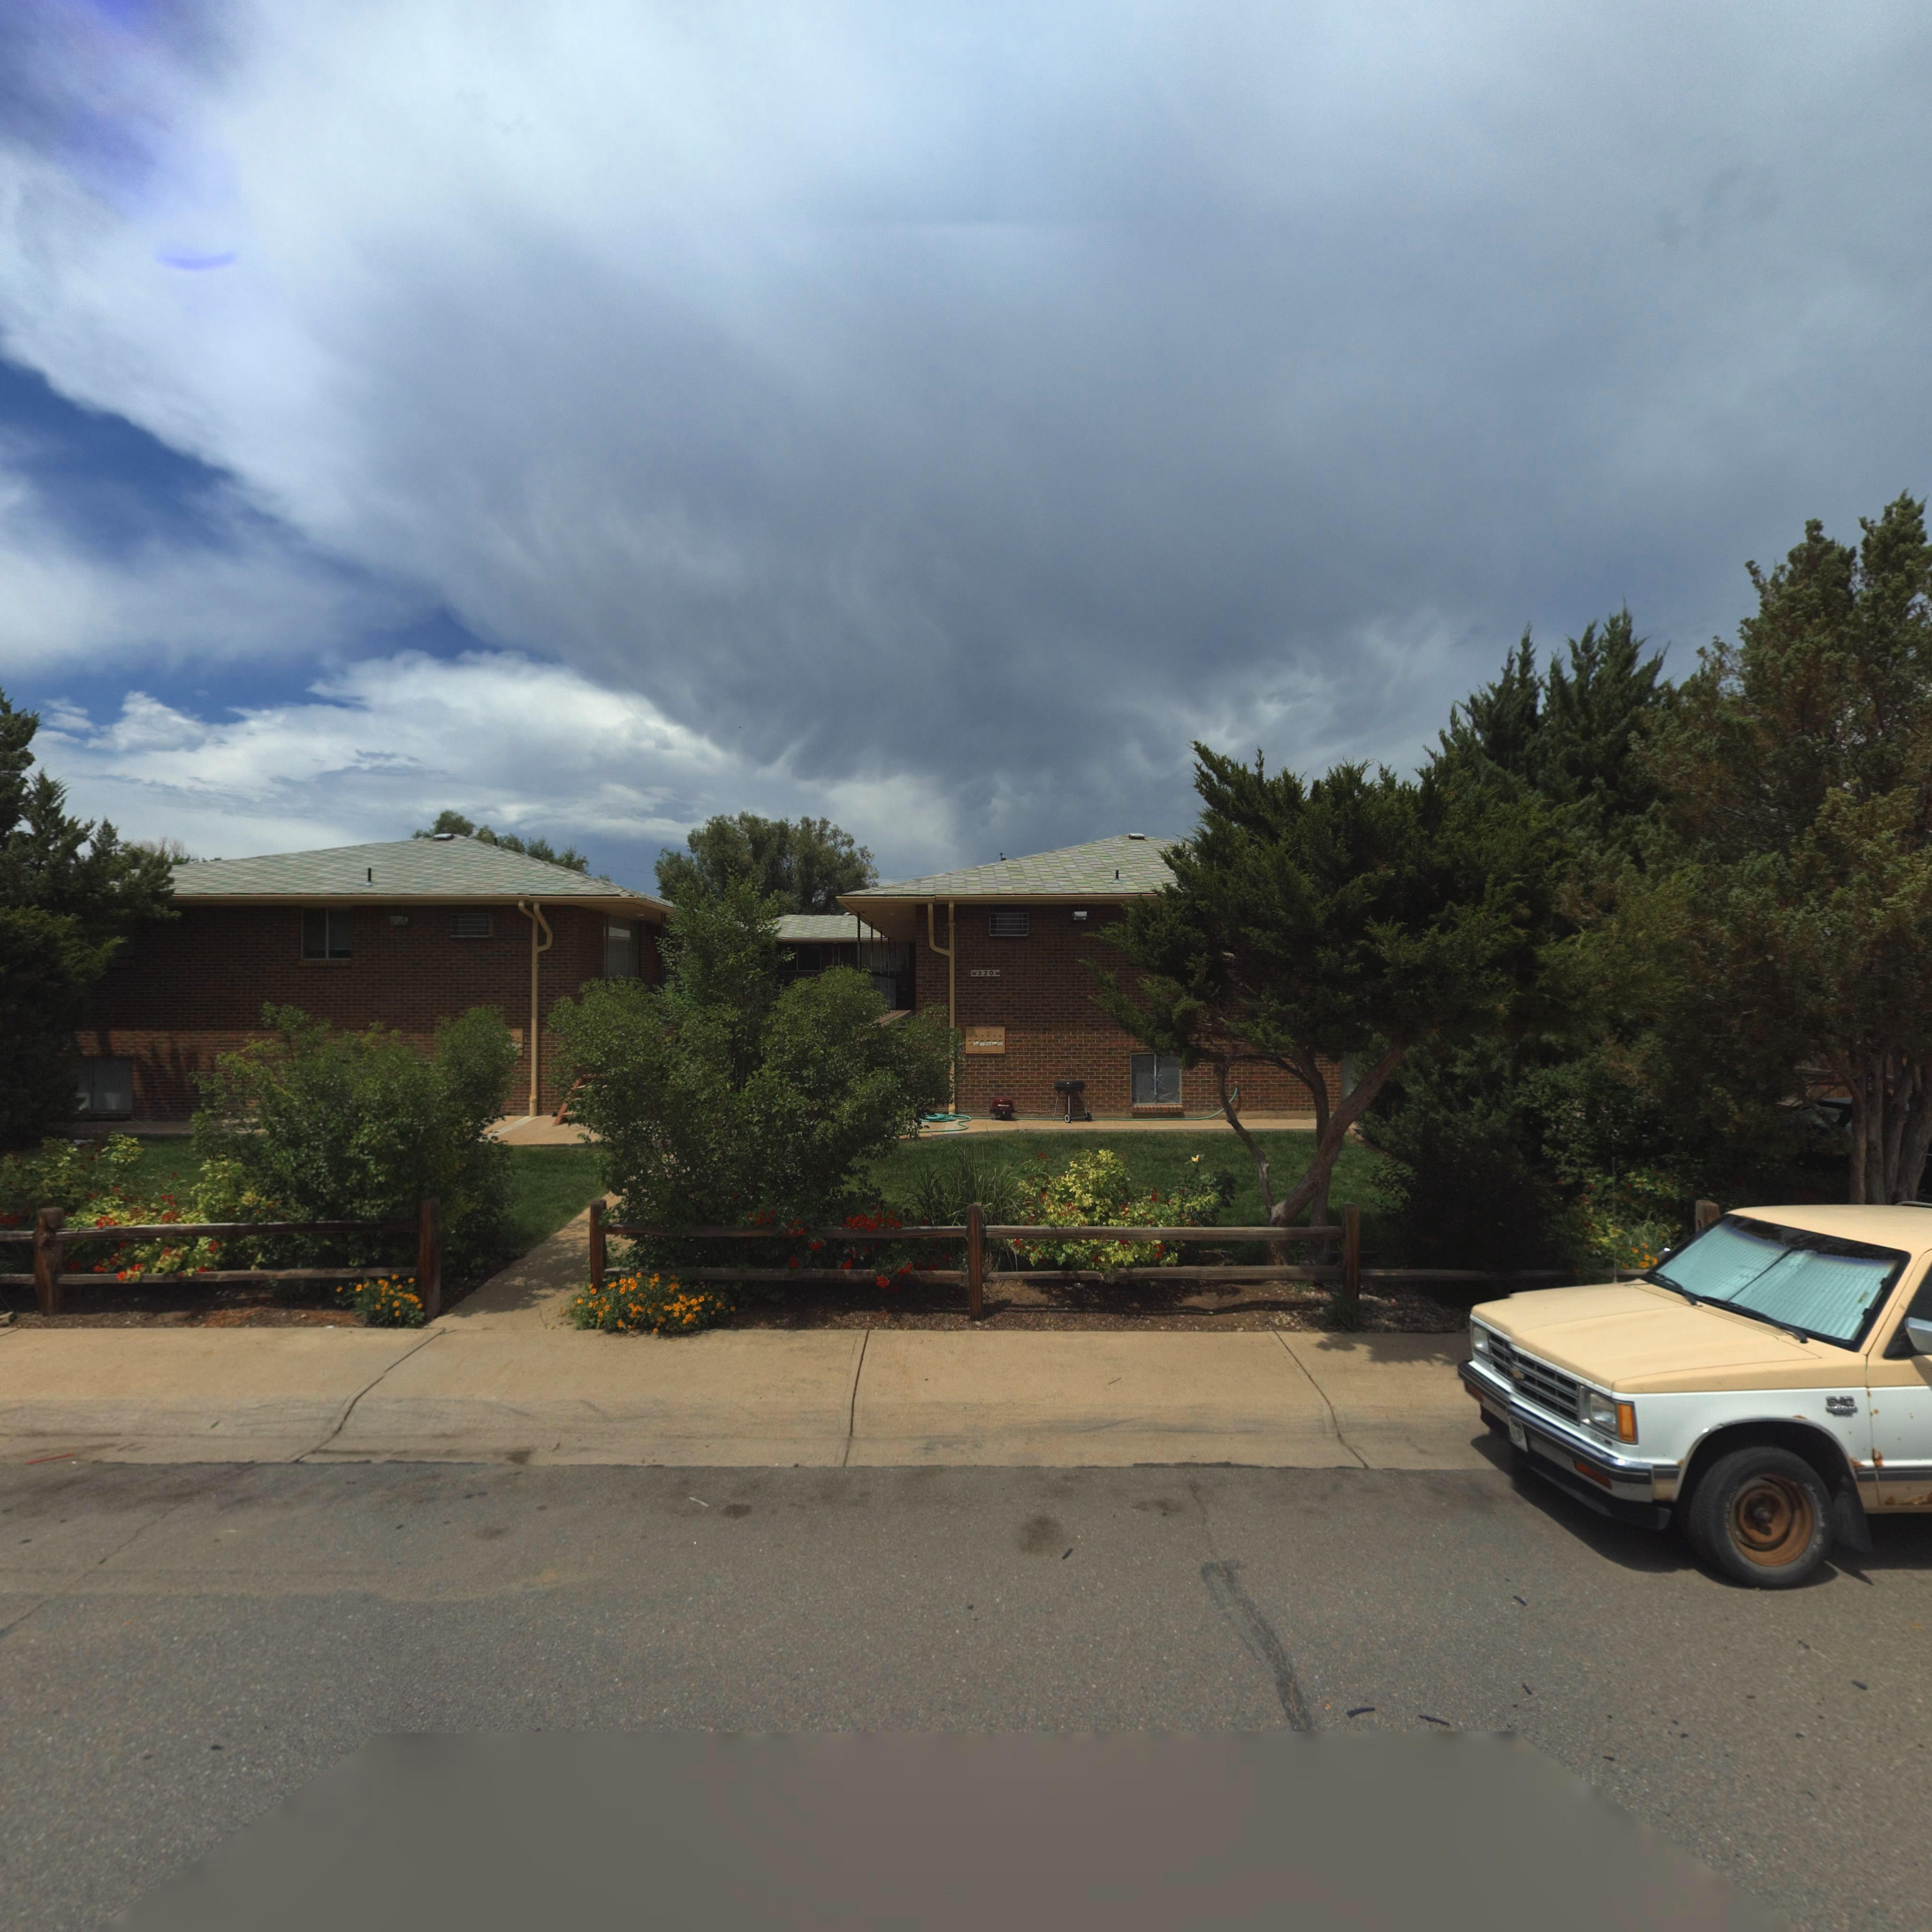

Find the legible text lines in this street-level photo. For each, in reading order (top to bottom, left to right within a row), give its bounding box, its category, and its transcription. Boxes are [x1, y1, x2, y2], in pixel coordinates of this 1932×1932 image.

[977, 970, 994, 976] StreetNumber: 320